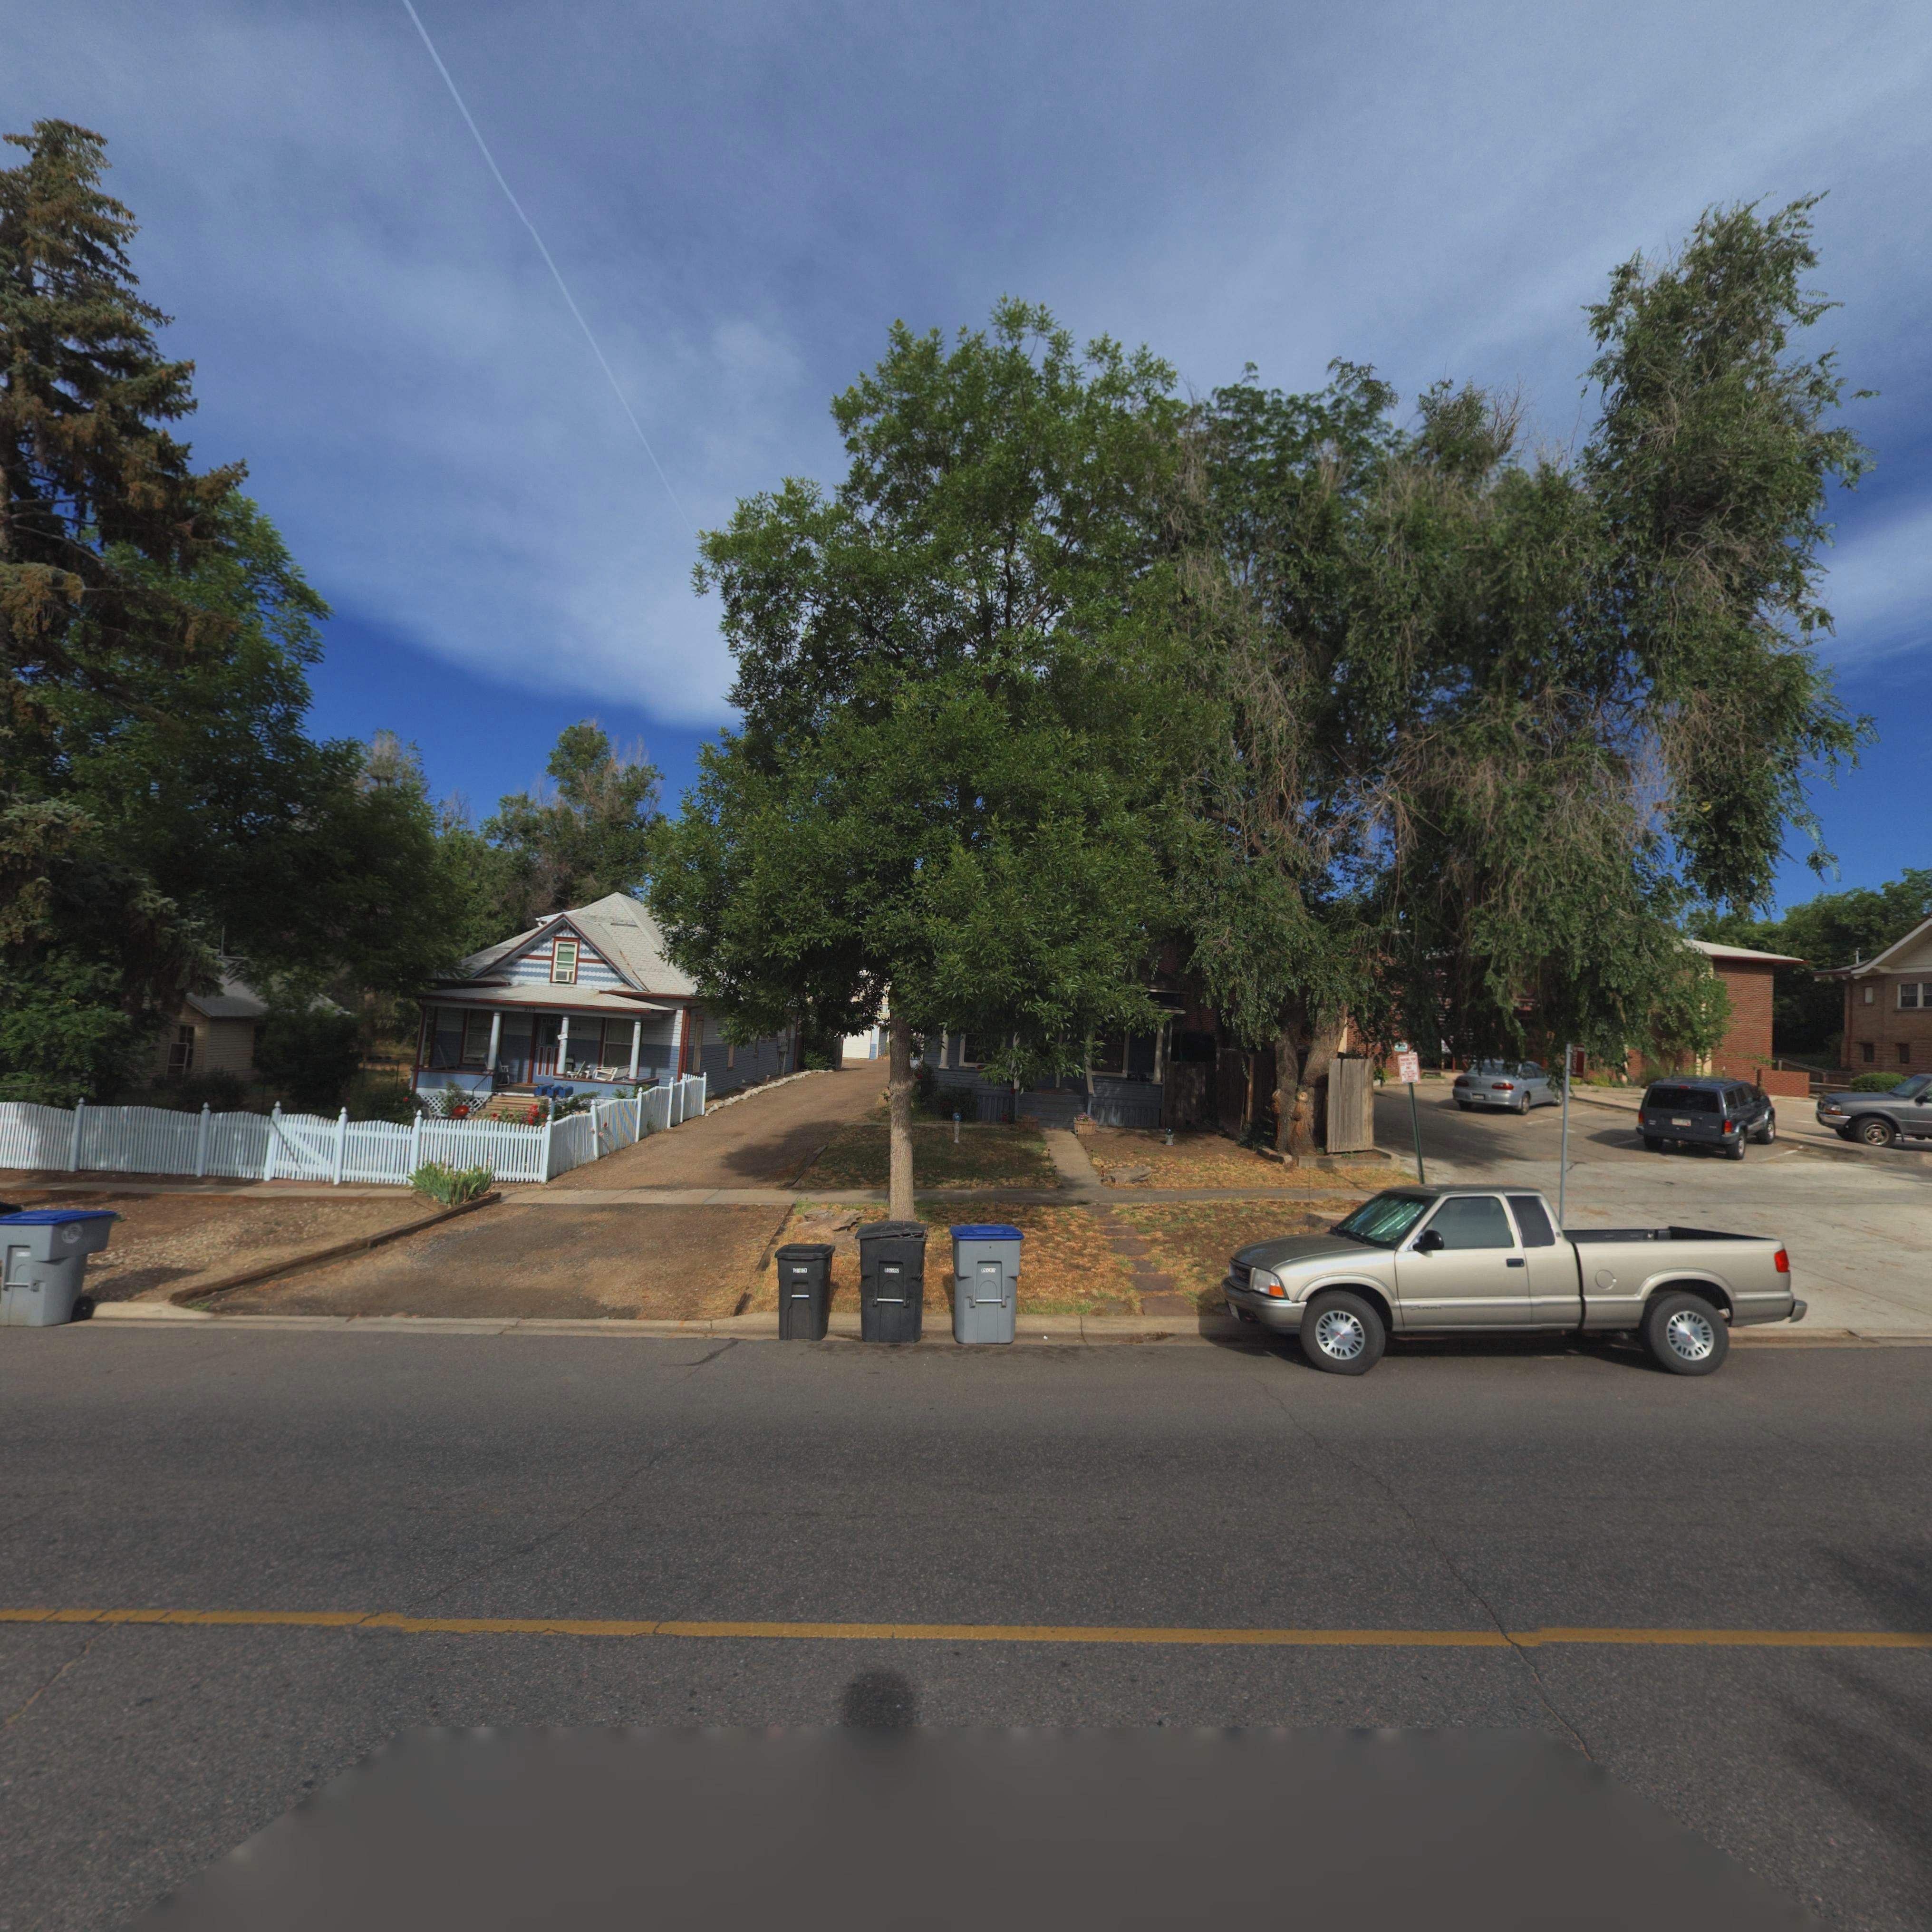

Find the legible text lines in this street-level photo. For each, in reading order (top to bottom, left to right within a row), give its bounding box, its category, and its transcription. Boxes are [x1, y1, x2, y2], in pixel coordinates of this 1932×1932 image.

[523, 1005, 536, 1012] StreetNumber: 215
[568, 1026, 581, 1031] StreetNumber: *15 A